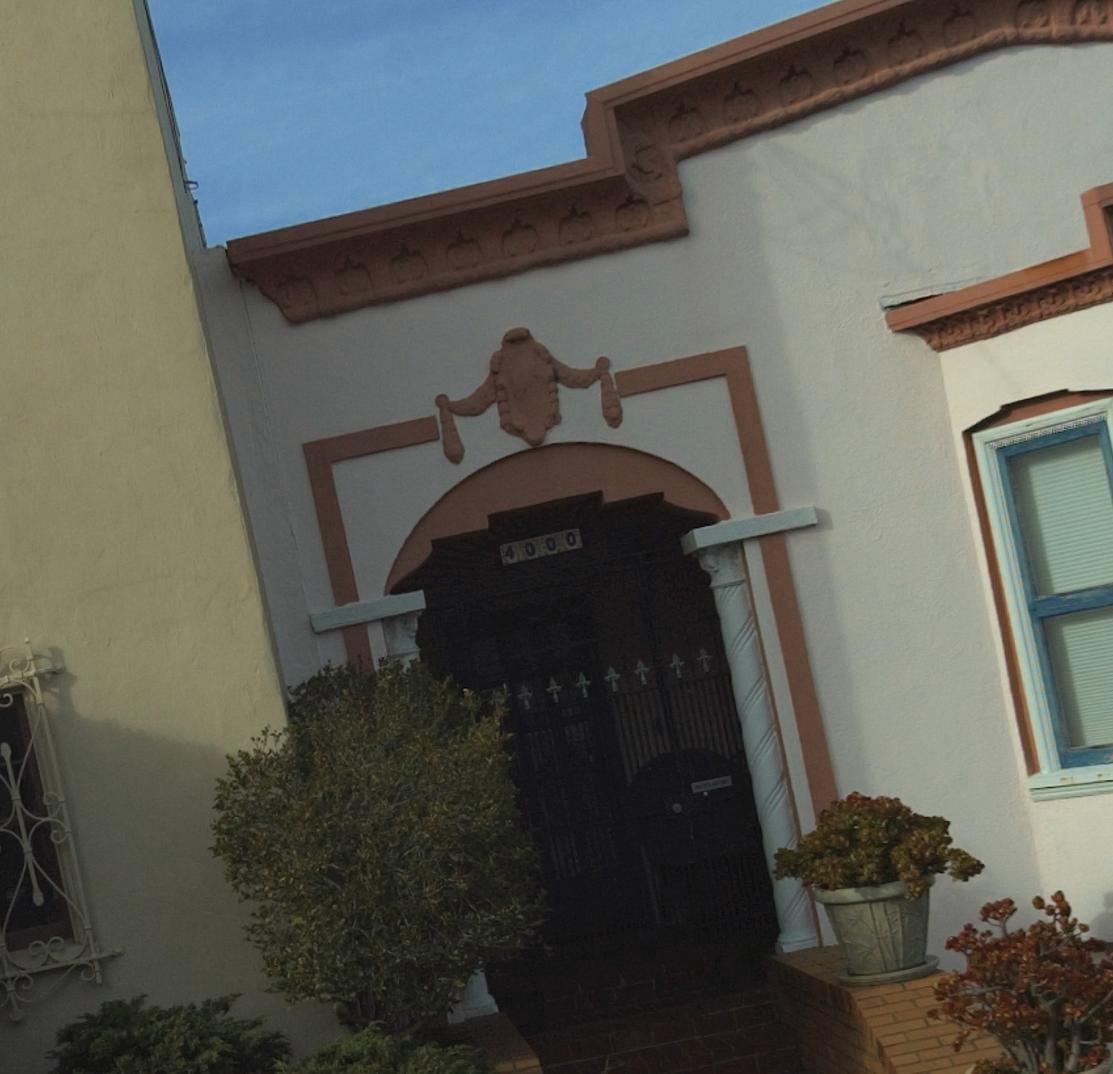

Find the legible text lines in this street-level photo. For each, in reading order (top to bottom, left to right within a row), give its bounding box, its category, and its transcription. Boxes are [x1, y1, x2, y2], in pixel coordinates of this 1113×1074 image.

[503, 530, 578, 561] StreetNumber: 4000